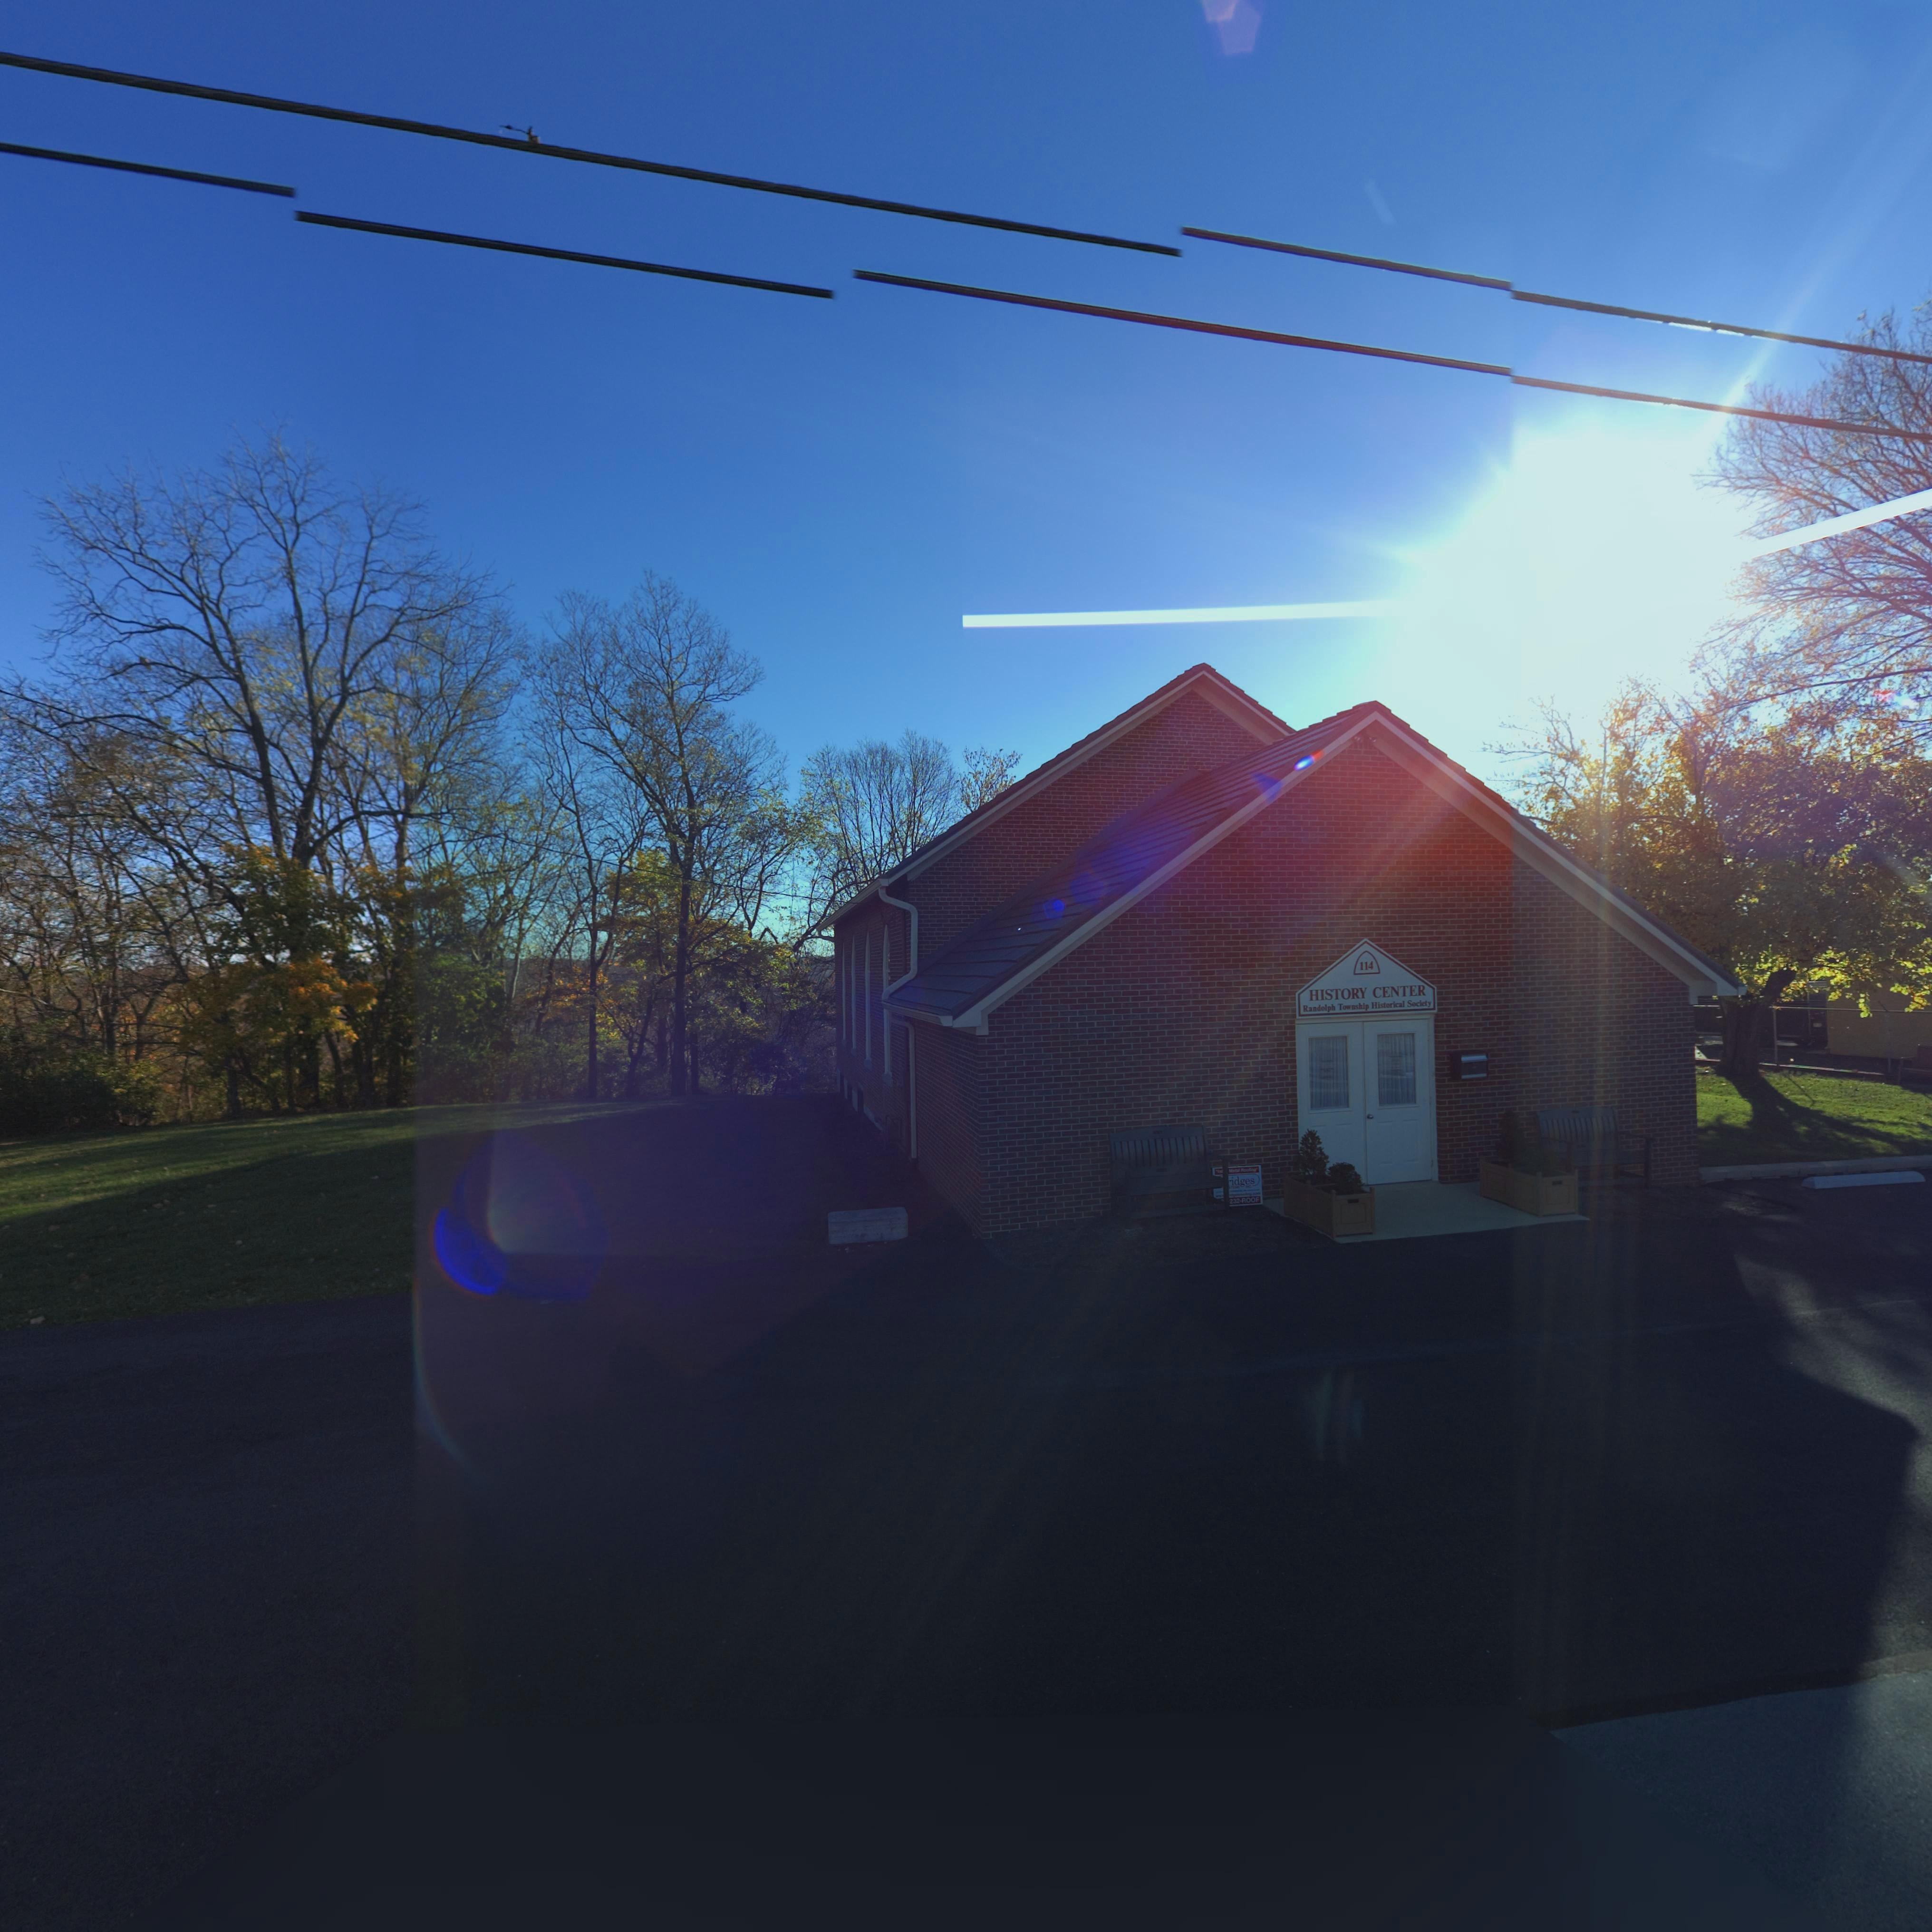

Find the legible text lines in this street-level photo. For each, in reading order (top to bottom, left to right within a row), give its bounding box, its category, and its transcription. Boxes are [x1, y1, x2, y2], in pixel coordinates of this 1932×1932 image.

[1359, 960, 1374, 971] StreetNumber: 114